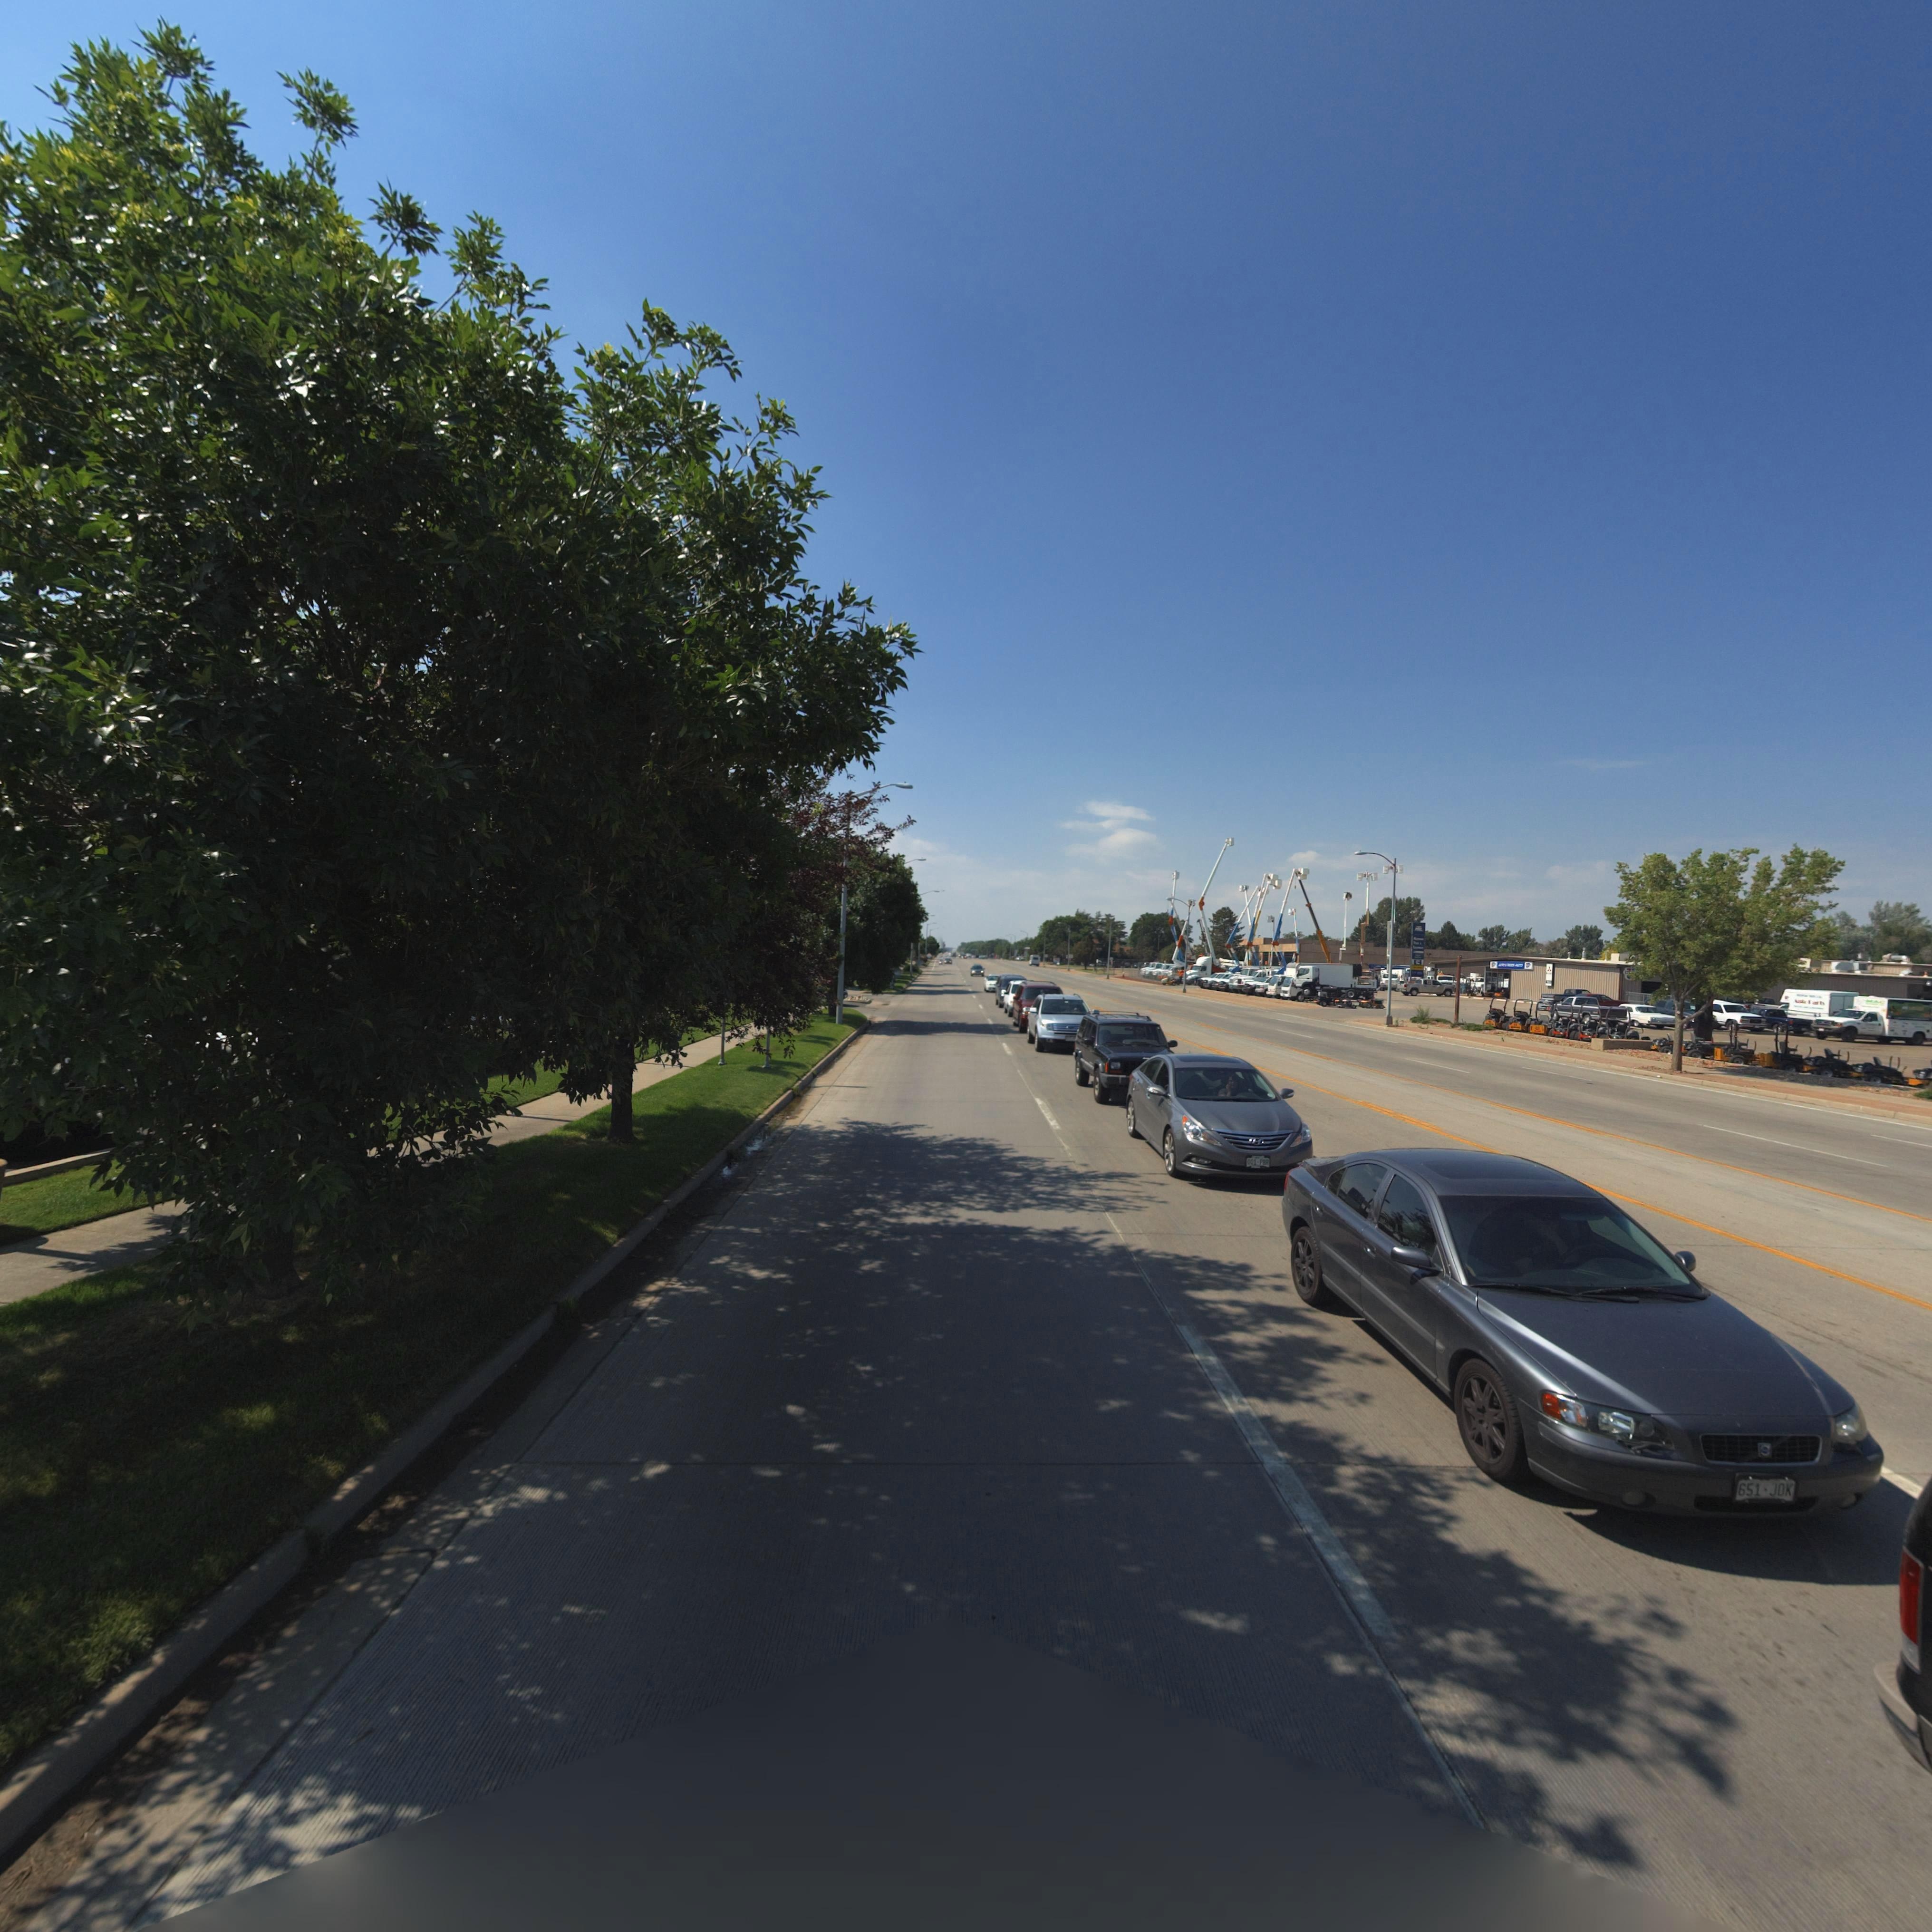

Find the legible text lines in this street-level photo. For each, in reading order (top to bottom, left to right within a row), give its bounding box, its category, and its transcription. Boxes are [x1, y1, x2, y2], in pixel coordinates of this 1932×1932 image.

[1413, 925, 1423, 931] BusinessName: MTE